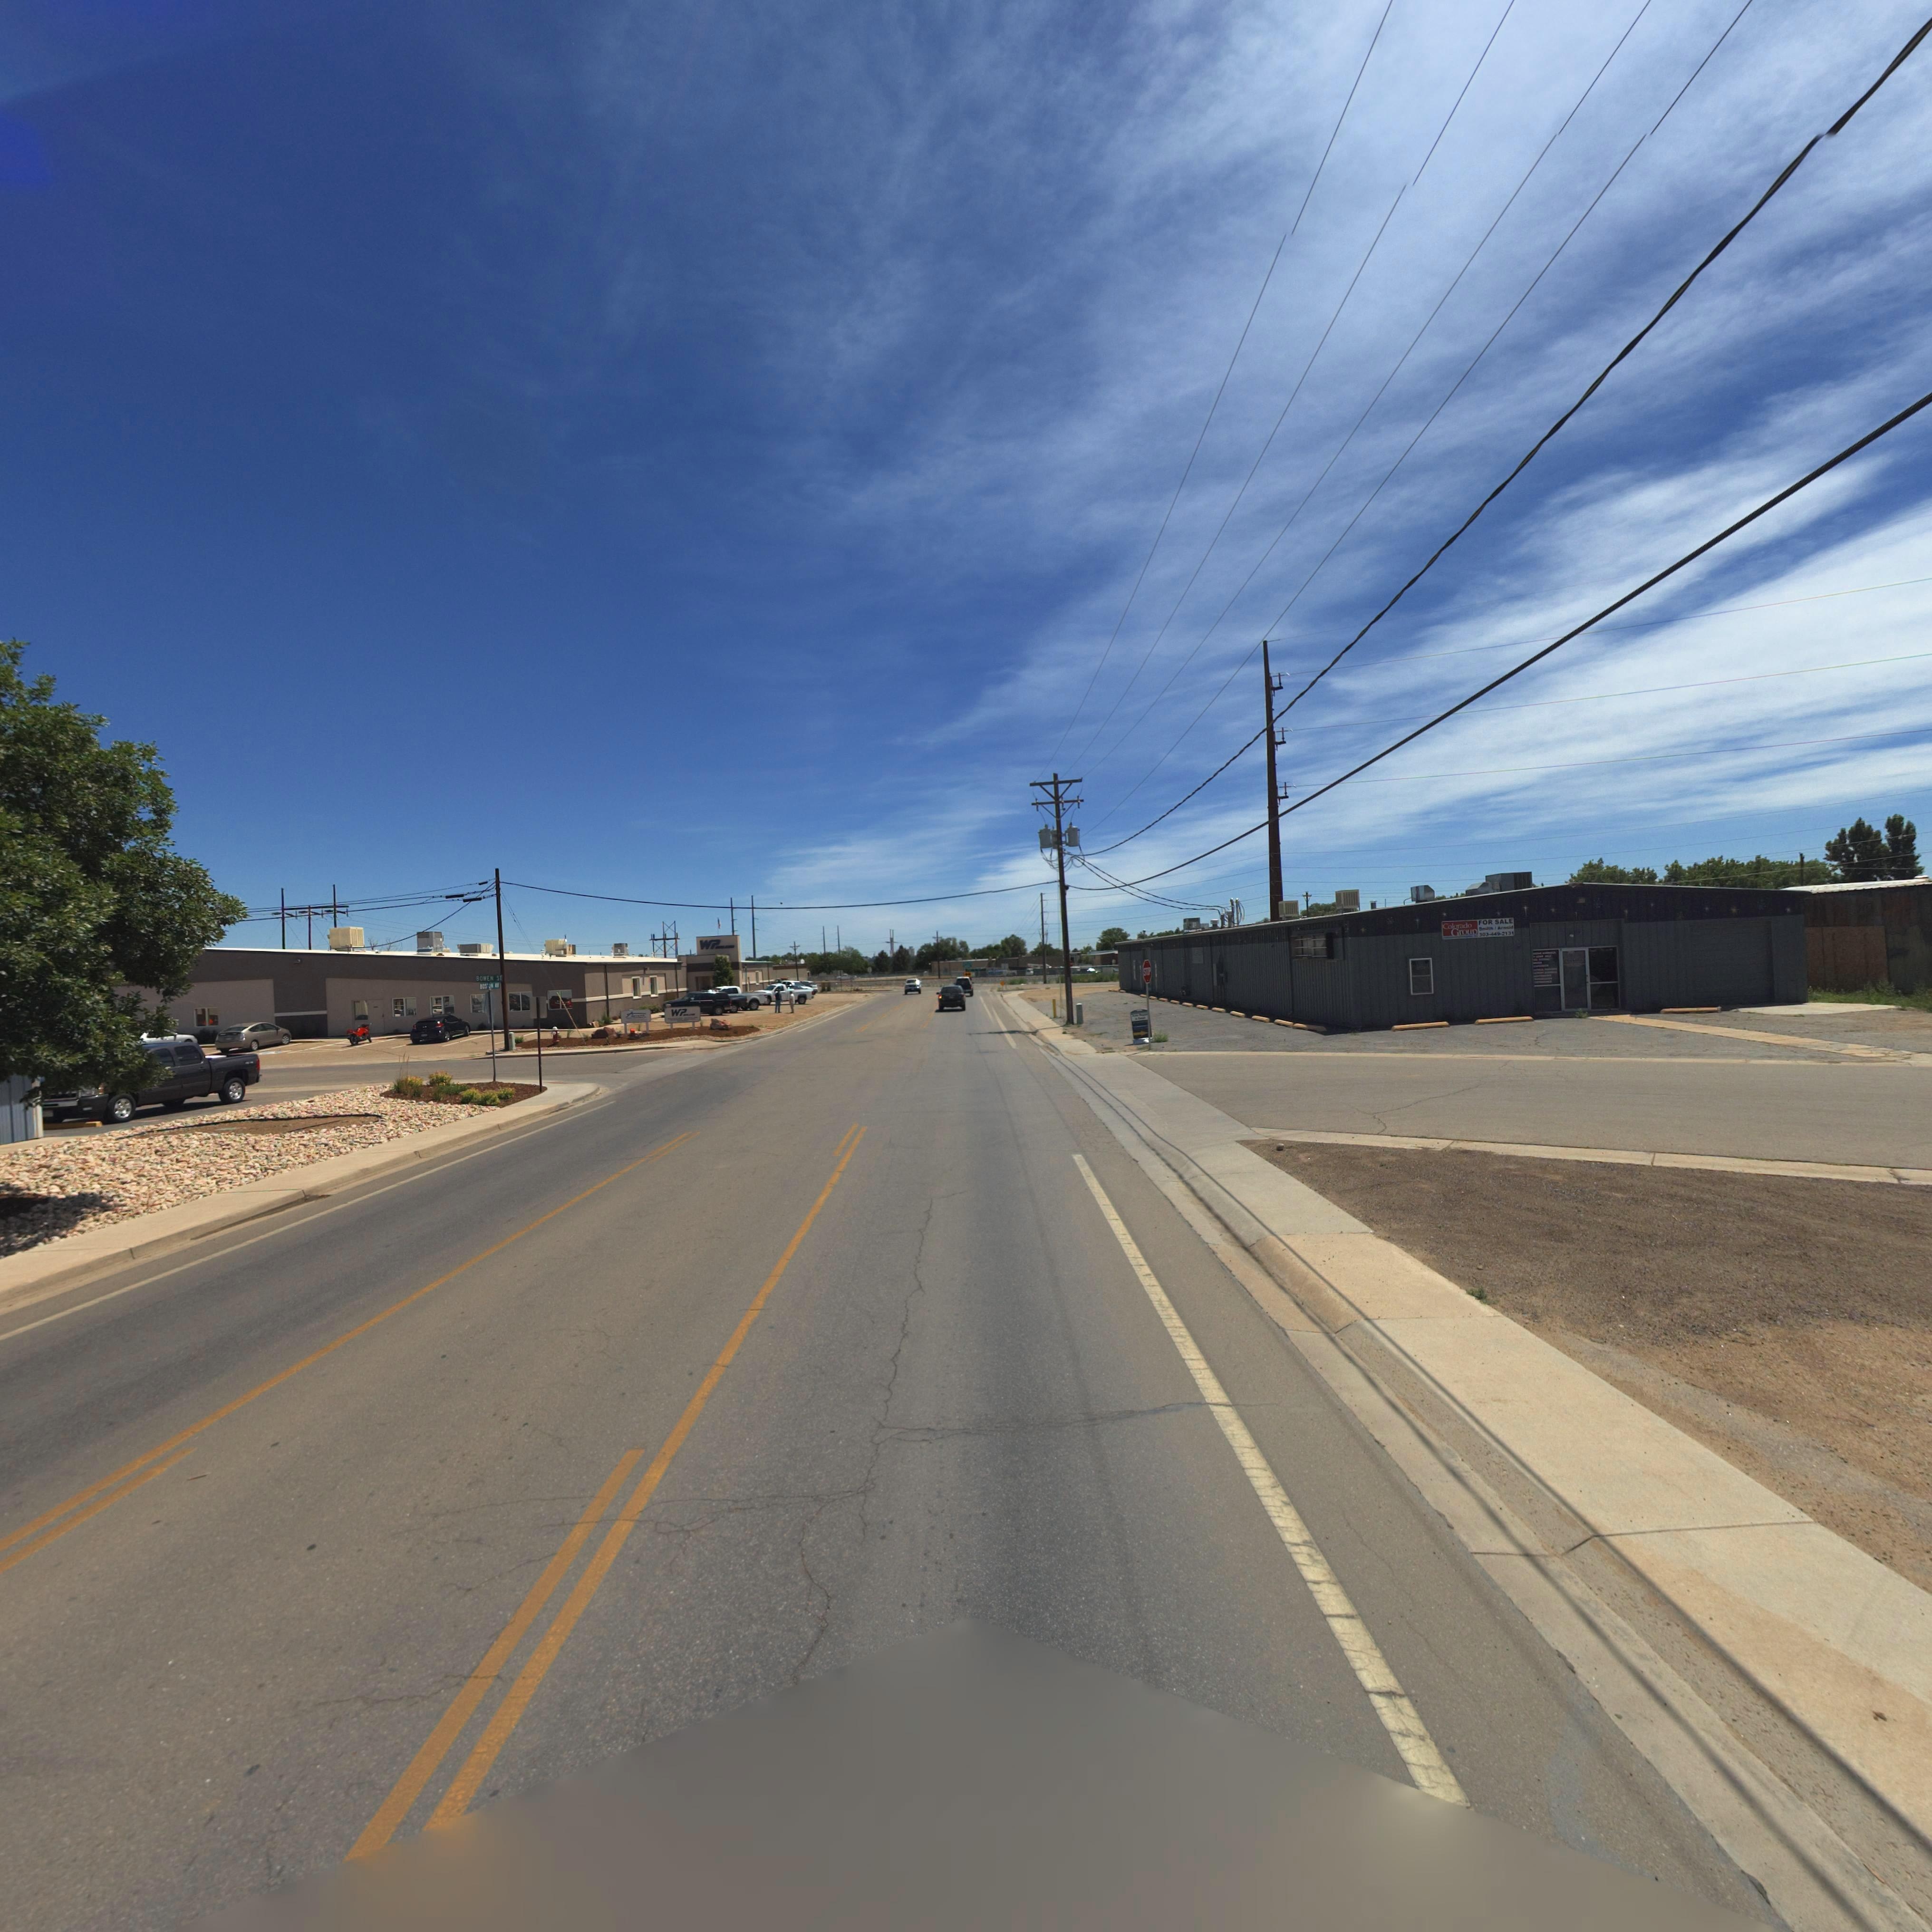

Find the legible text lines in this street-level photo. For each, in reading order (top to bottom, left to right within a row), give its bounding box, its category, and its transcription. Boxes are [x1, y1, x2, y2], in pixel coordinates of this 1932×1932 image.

[698, 939, 721, 950] BusinessName: WP
[476, 975, 502, 981] StreetName: BOWEN ST
[479, 982, 499, 989] StreetName: BOSTO* AV
[670, 1008, 687, 1017] BusinessName: WP